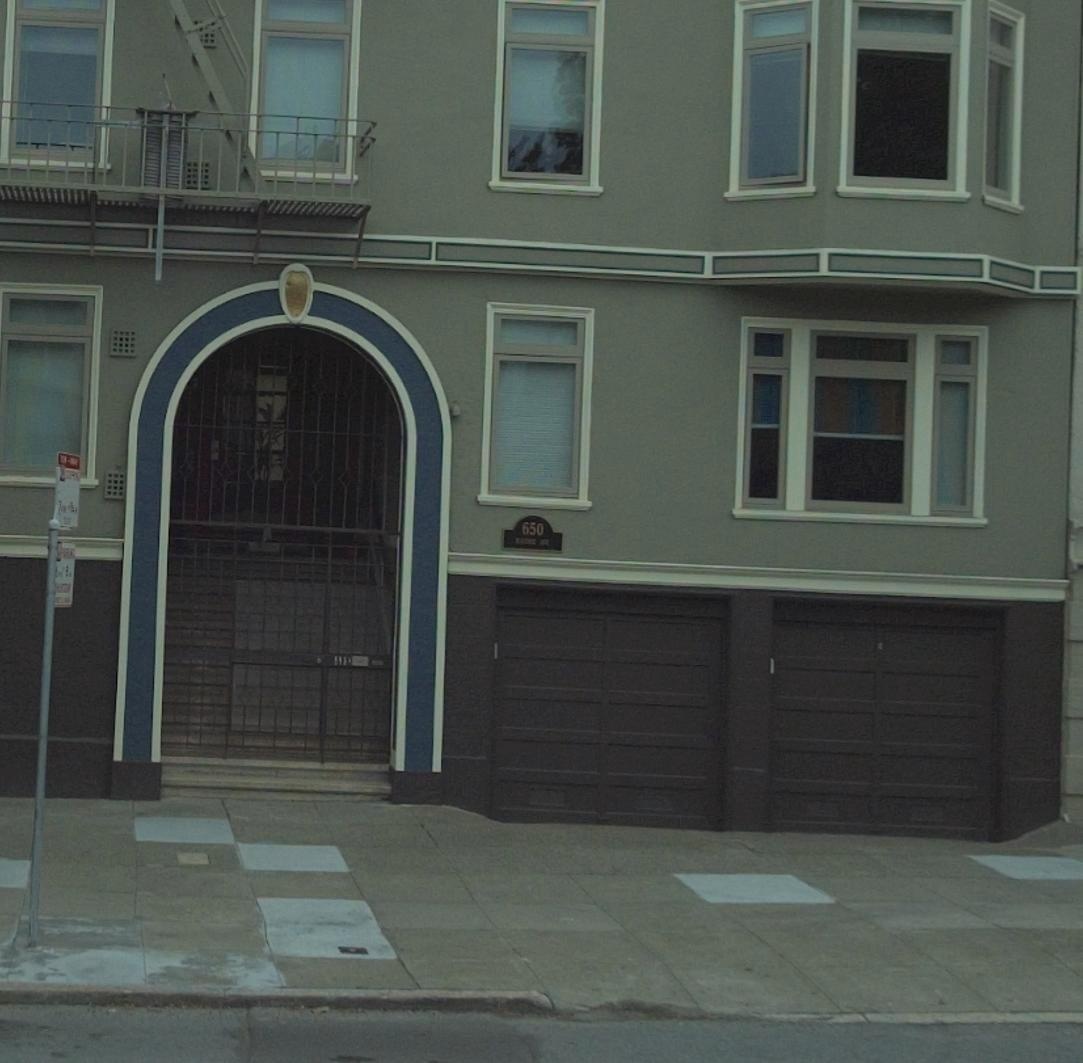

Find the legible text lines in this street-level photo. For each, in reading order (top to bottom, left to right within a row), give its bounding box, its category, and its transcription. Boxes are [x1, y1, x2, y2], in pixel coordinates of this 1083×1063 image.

[521, 521, 544, 537] StreetNumber: 650